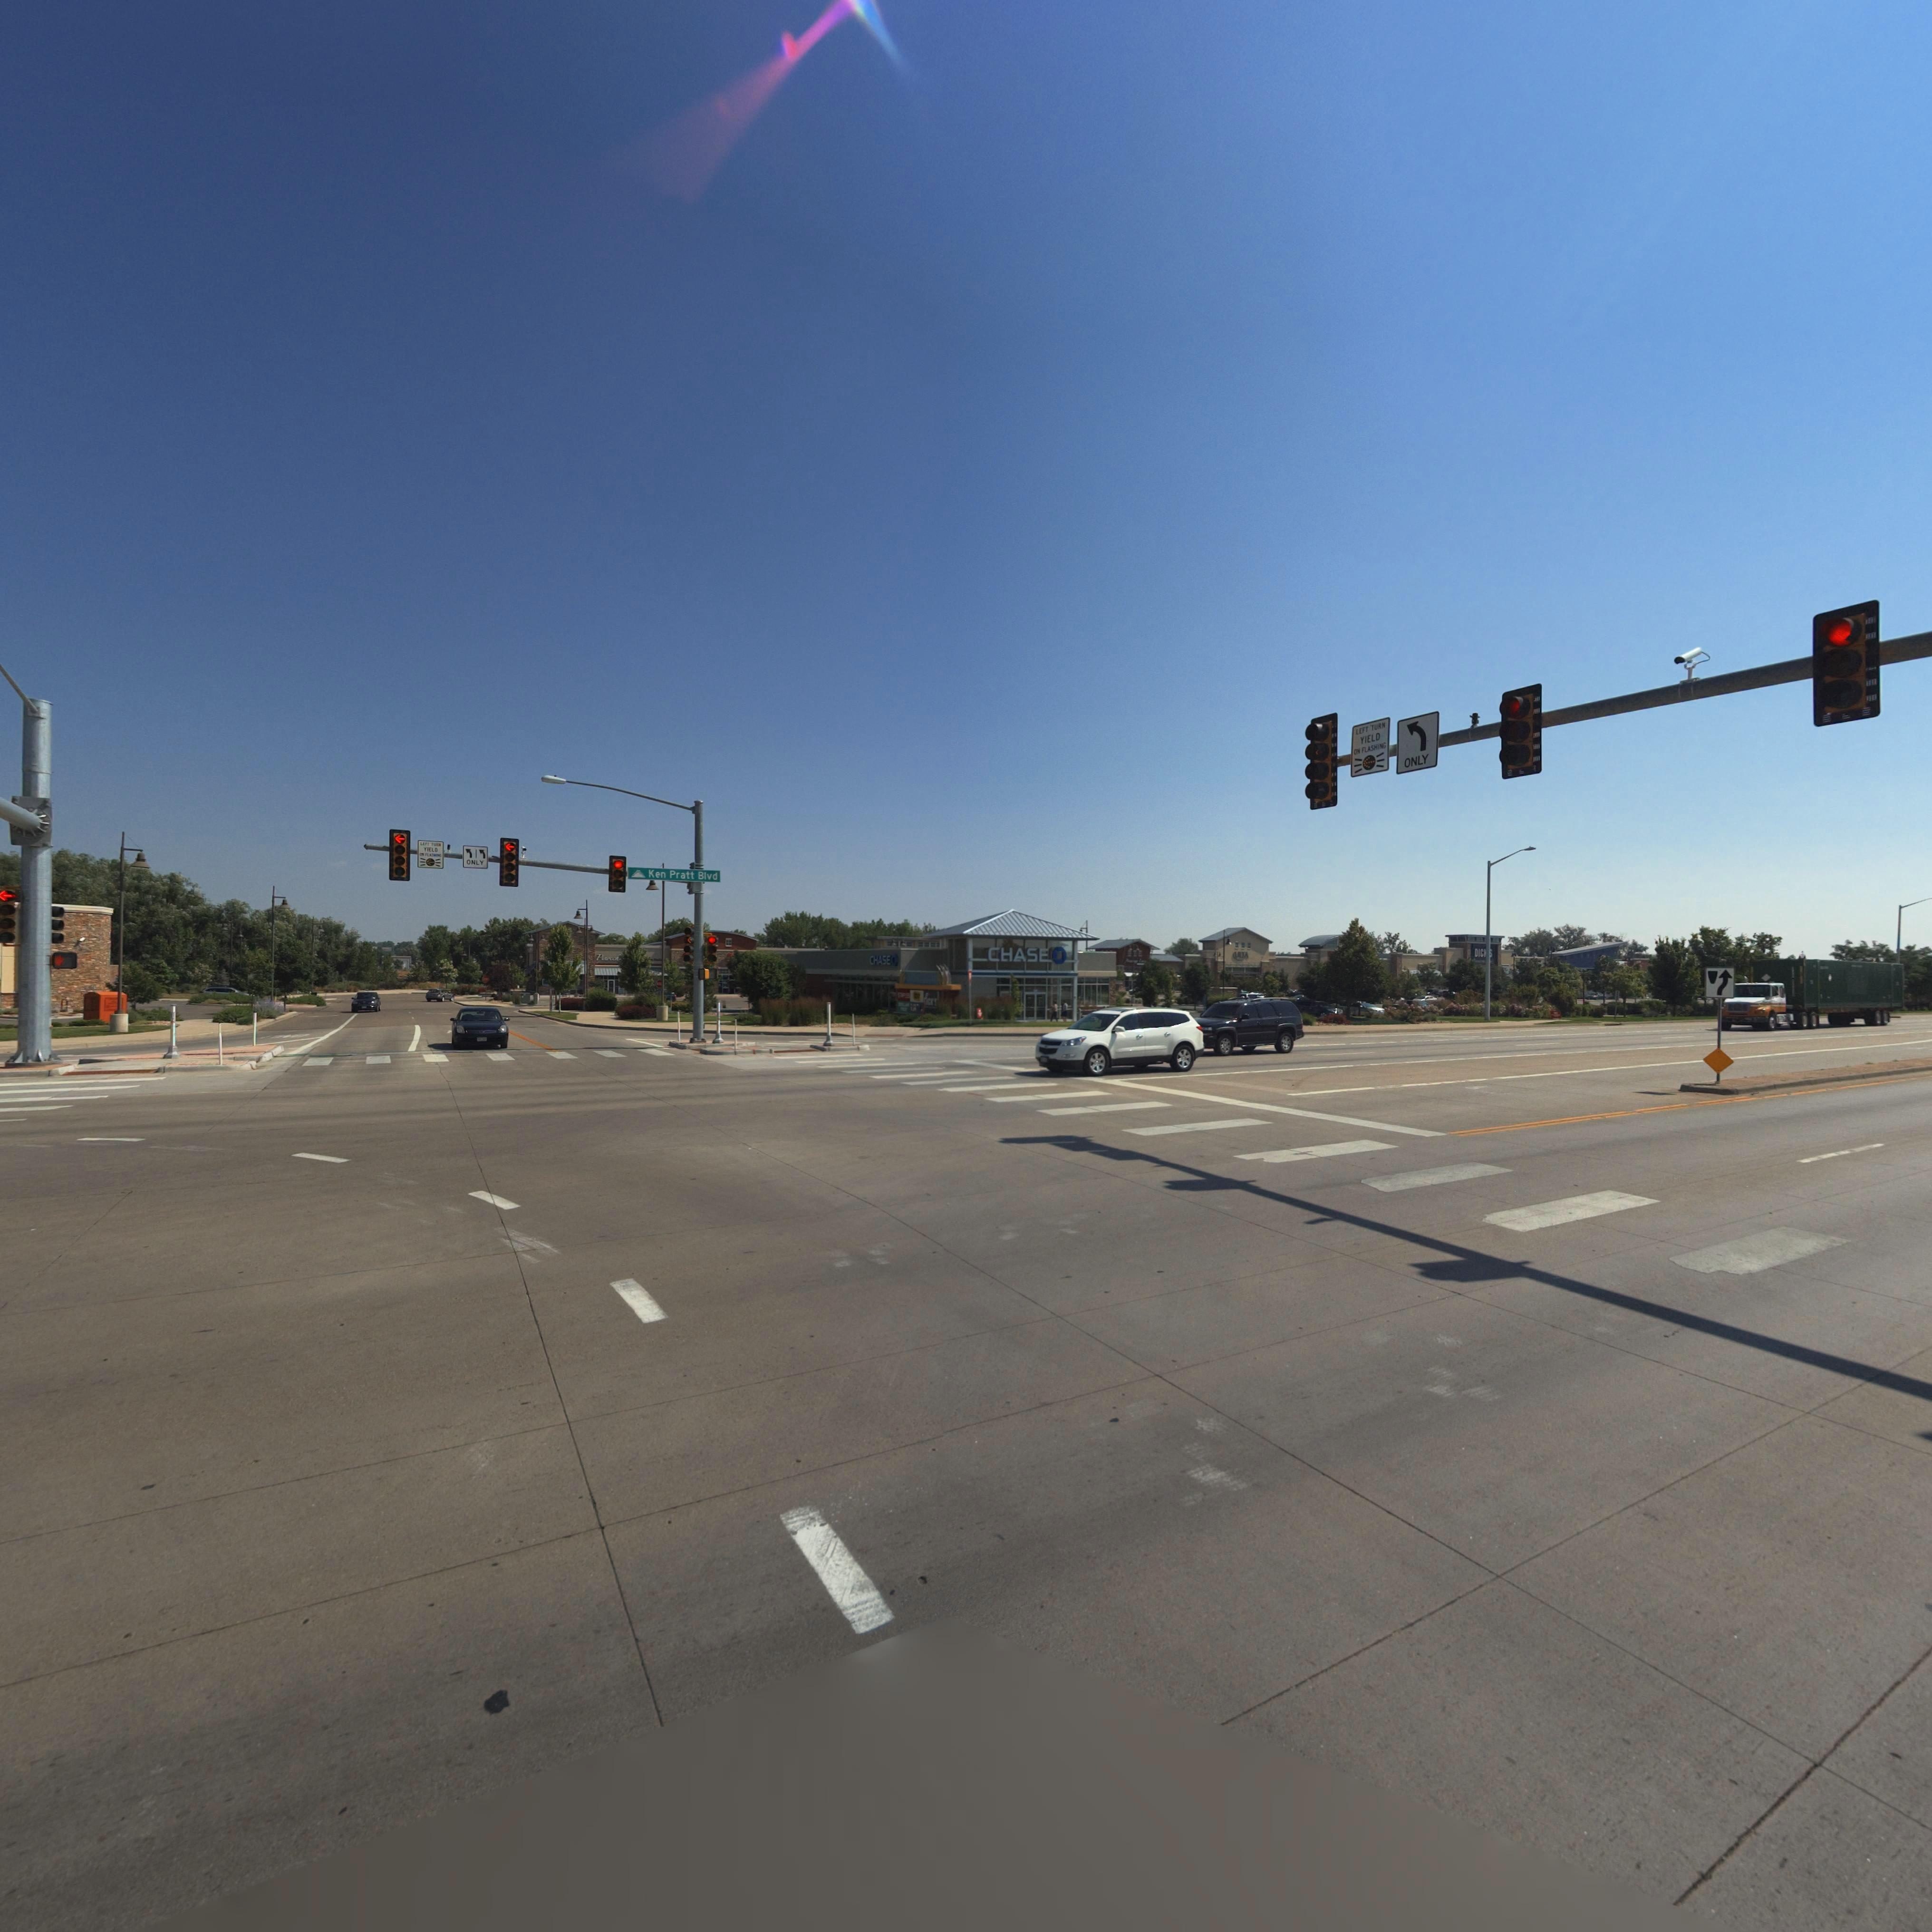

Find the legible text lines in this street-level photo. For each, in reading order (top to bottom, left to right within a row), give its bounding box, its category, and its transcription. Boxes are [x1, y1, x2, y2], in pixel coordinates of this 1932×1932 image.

[648, 869, 718, 880] StreetName: Ken Pratt Blvd
[595, 953, 622, 960] BusinessName: Pinocch
[869, 954, 891, 966] BusinessName: CHASE
[987, 947, 1049, 963] BusinessName: CHASE
[1234, 951, 1249, 958] BusinessName: ULTA
[1474, 948, 1493, 957] BusinessName: DIC**